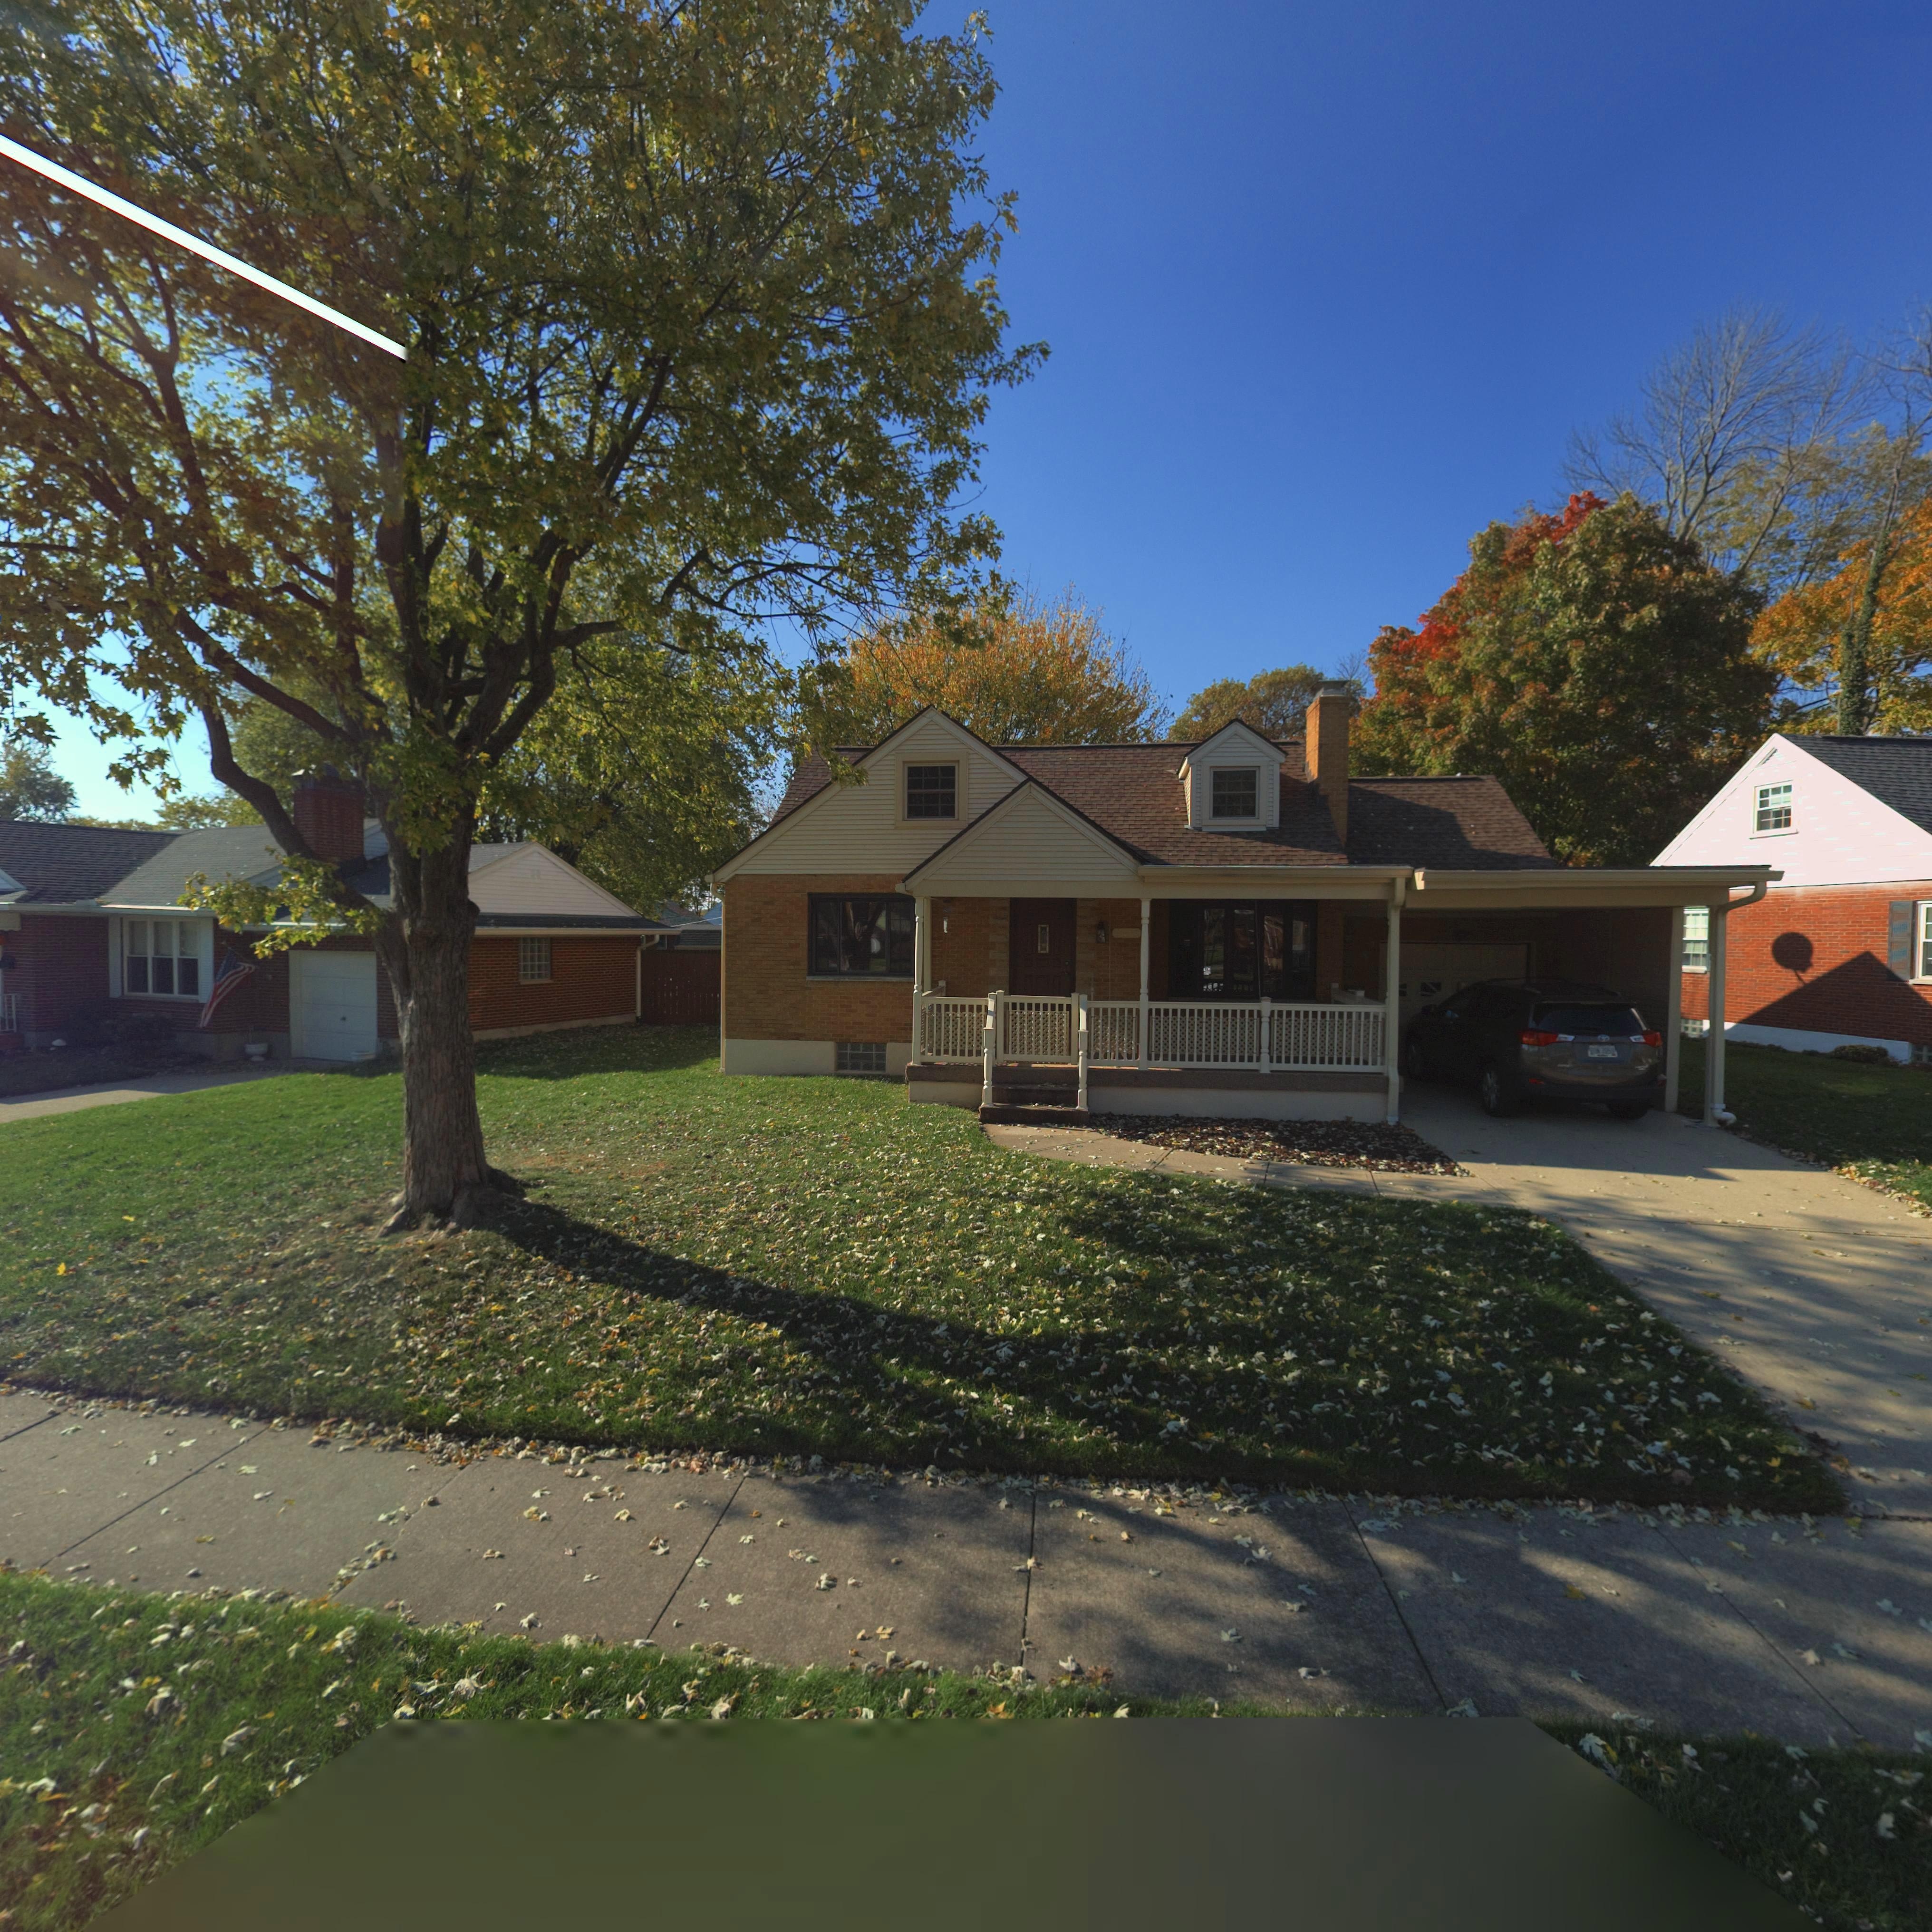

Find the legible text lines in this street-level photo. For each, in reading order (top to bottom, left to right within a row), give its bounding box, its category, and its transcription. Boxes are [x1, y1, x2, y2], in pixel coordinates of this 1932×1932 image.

[1588, 1046, 1616, 1055] None: B*N*705*